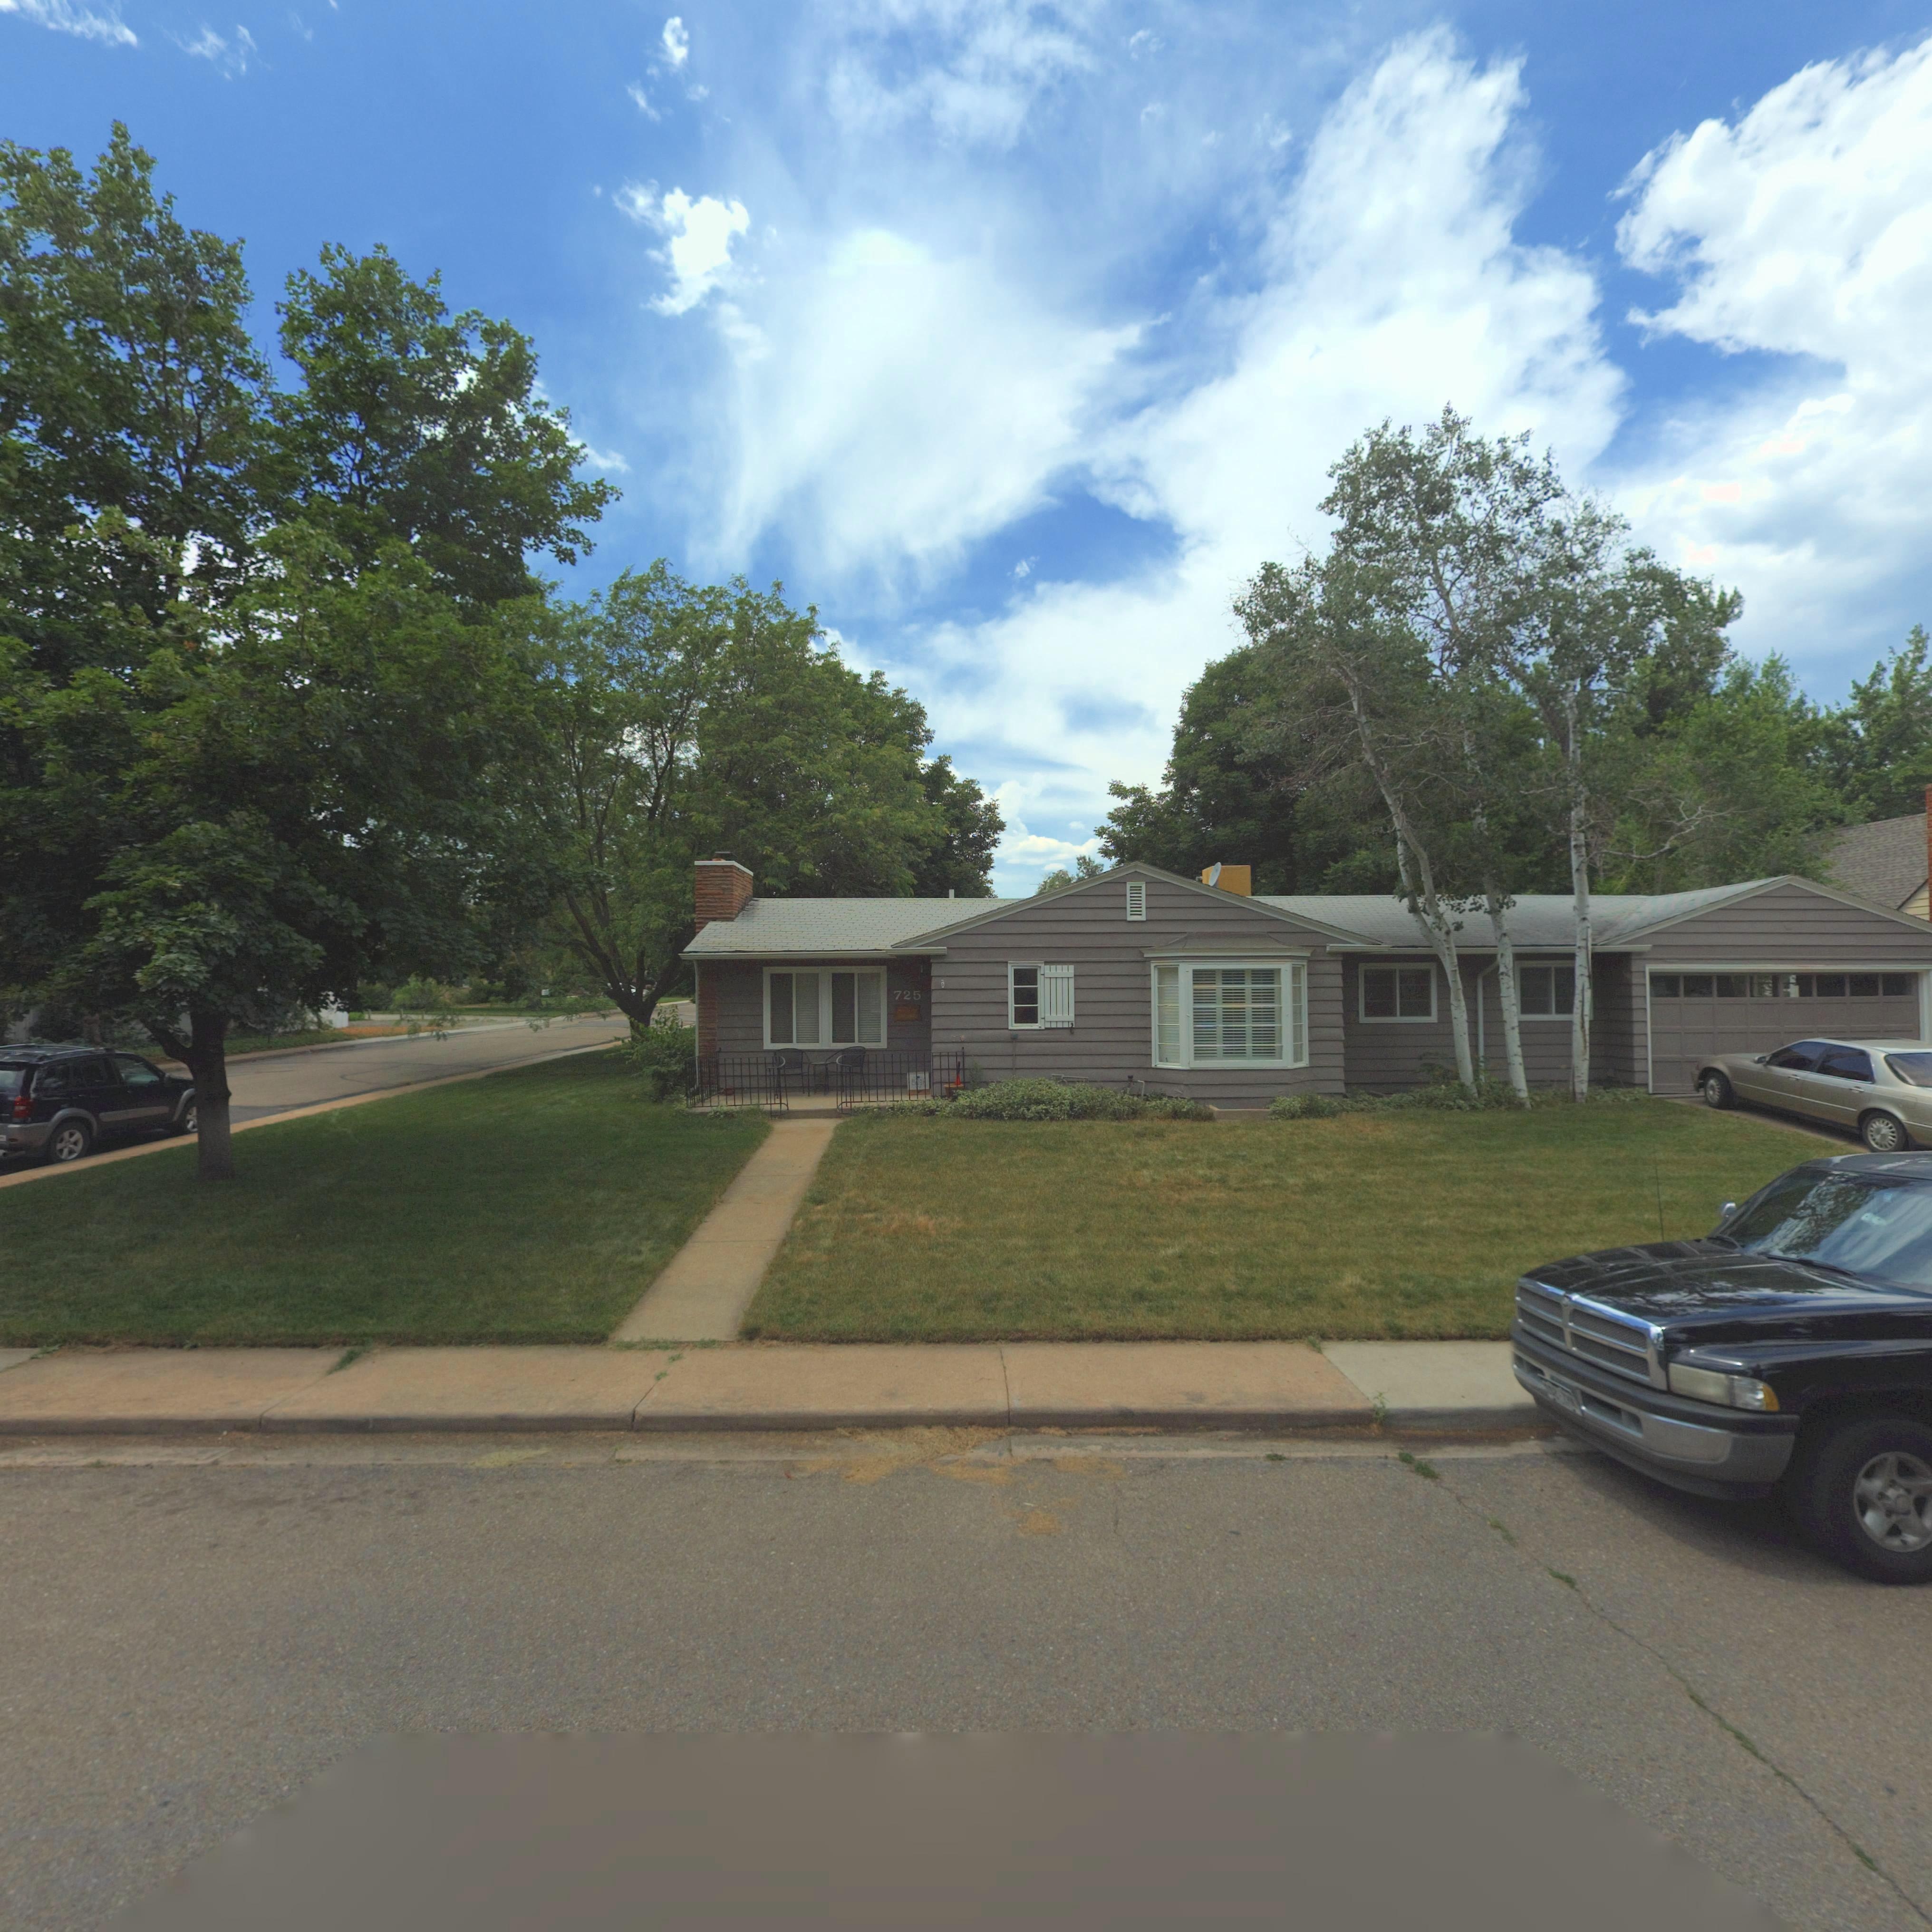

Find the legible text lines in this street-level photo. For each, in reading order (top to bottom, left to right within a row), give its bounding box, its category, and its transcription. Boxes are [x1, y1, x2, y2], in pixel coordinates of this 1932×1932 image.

[893, 990, 921, 1000] StreetNumber: 725